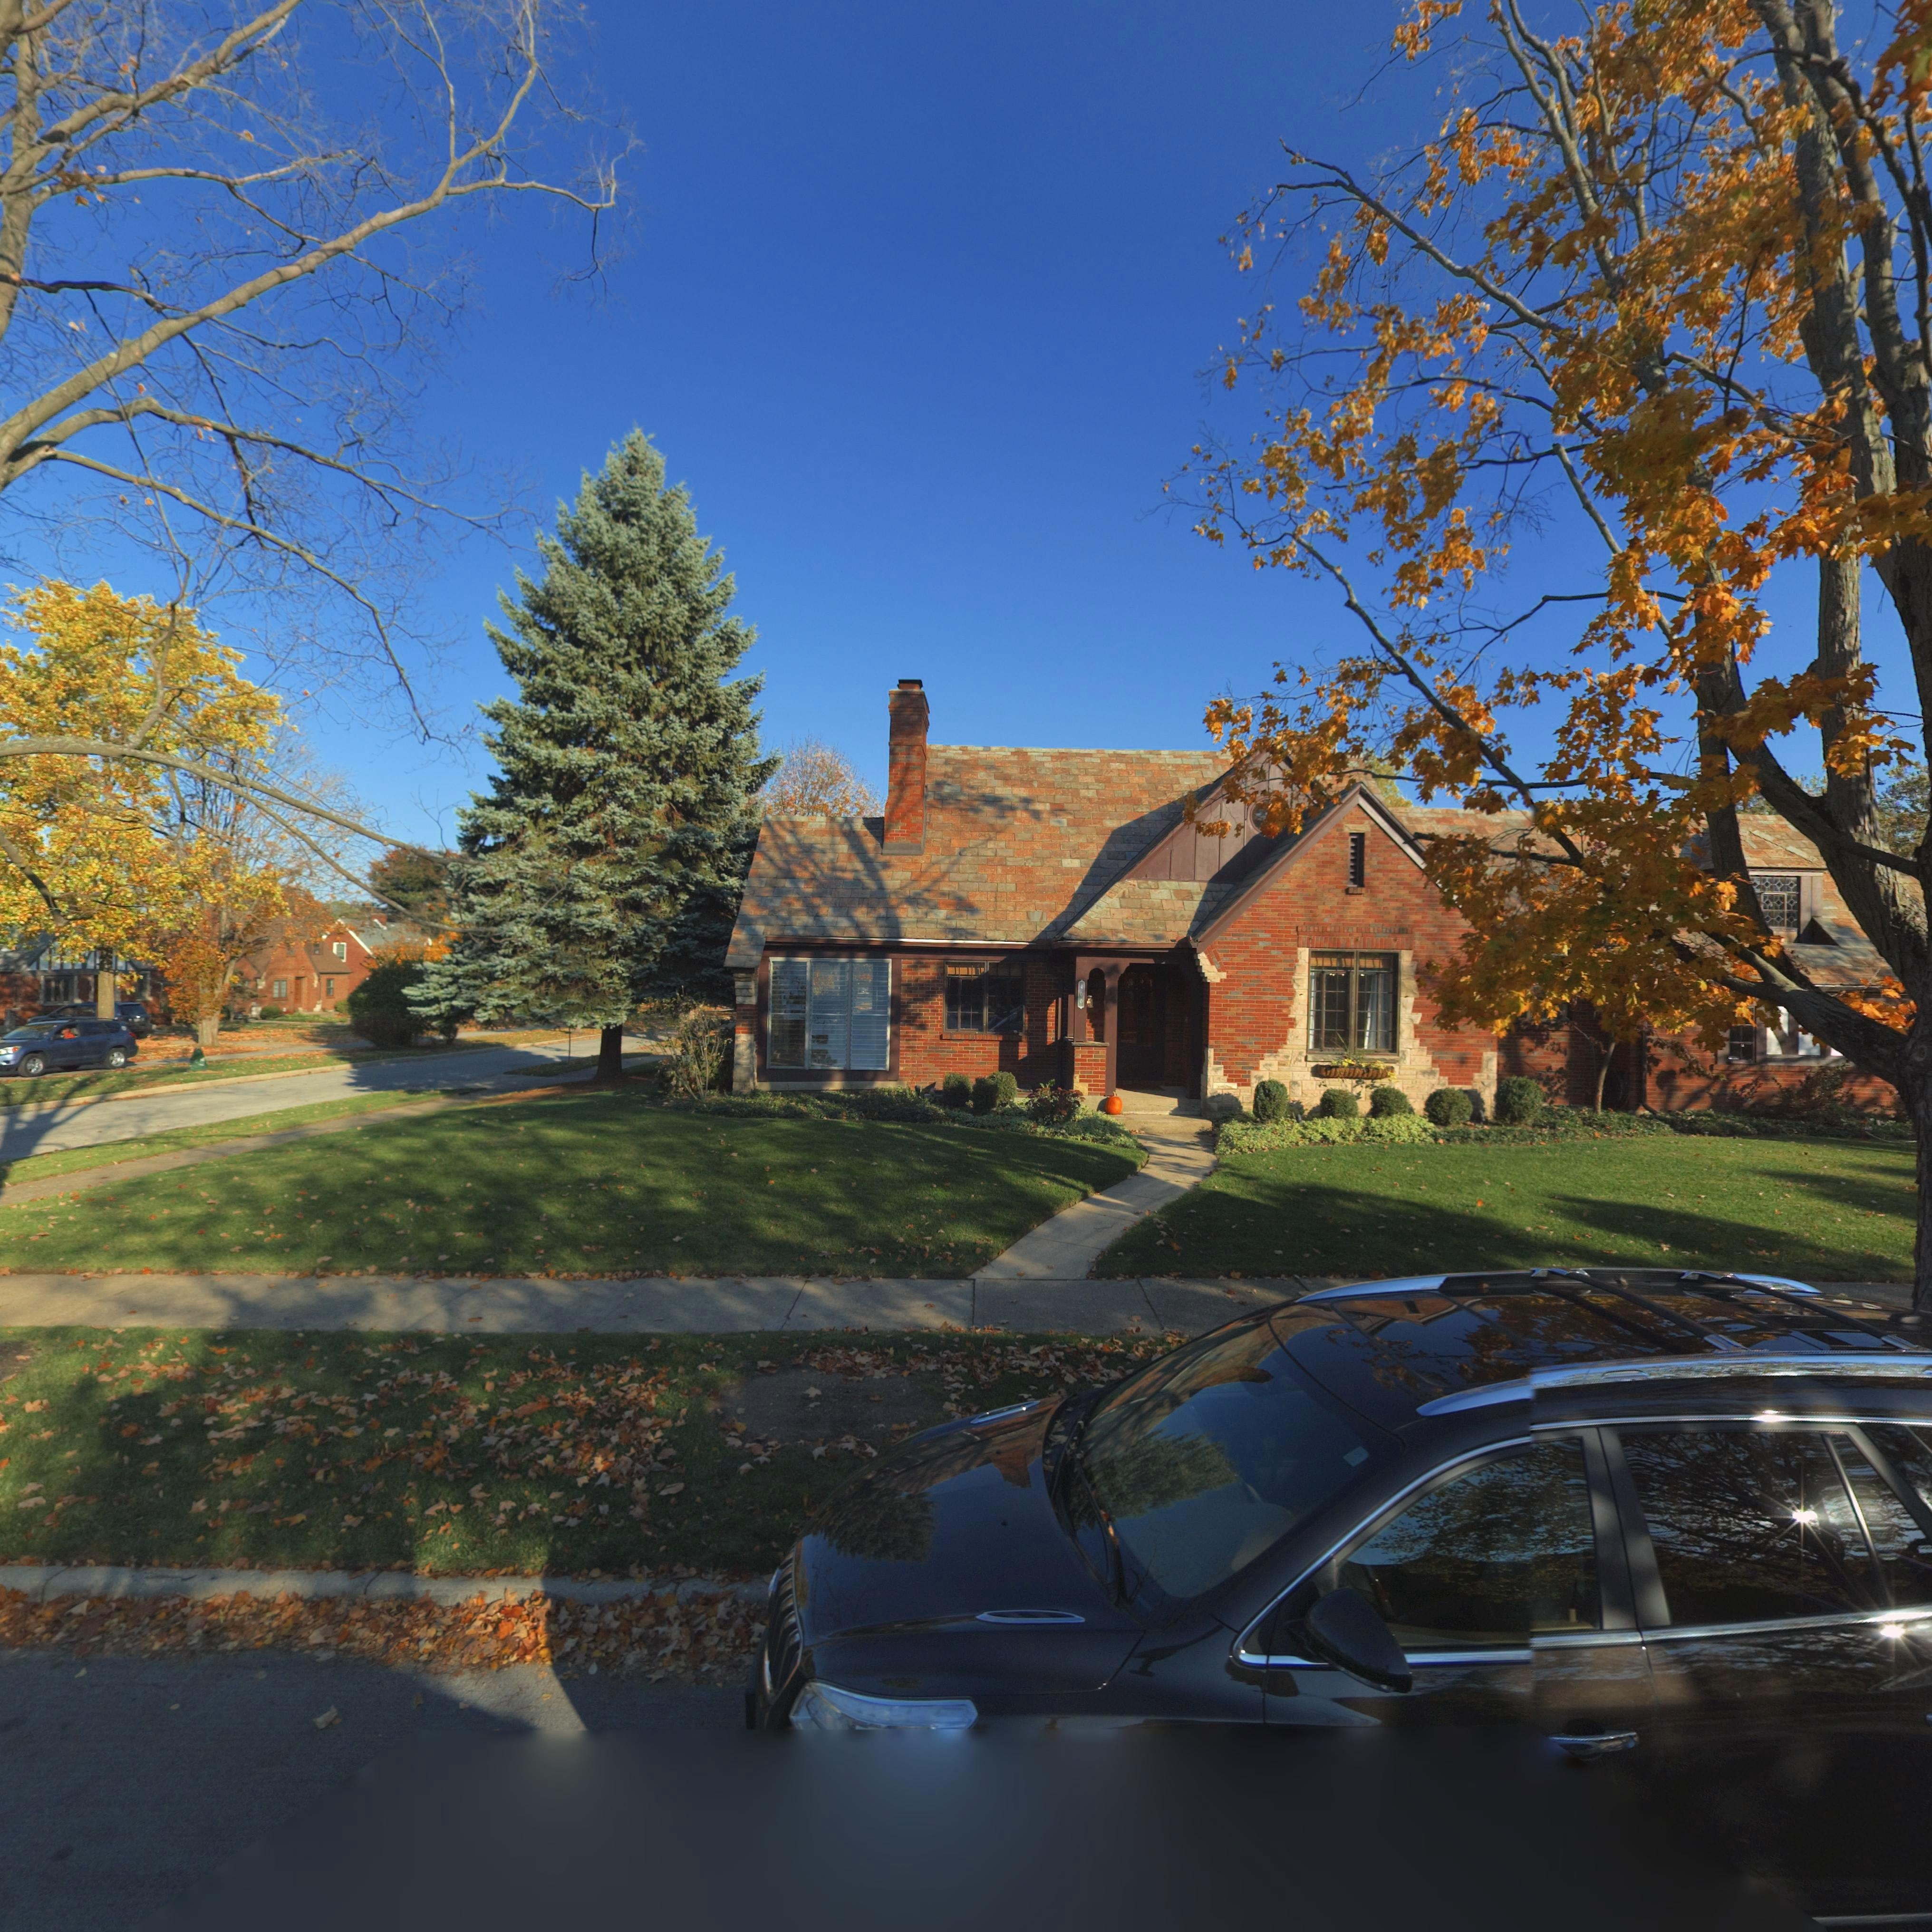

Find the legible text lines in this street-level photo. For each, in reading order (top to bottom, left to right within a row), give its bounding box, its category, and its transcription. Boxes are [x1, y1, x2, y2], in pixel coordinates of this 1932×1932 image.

[1079, 984, 1083, 1005] StreetNumber: 400